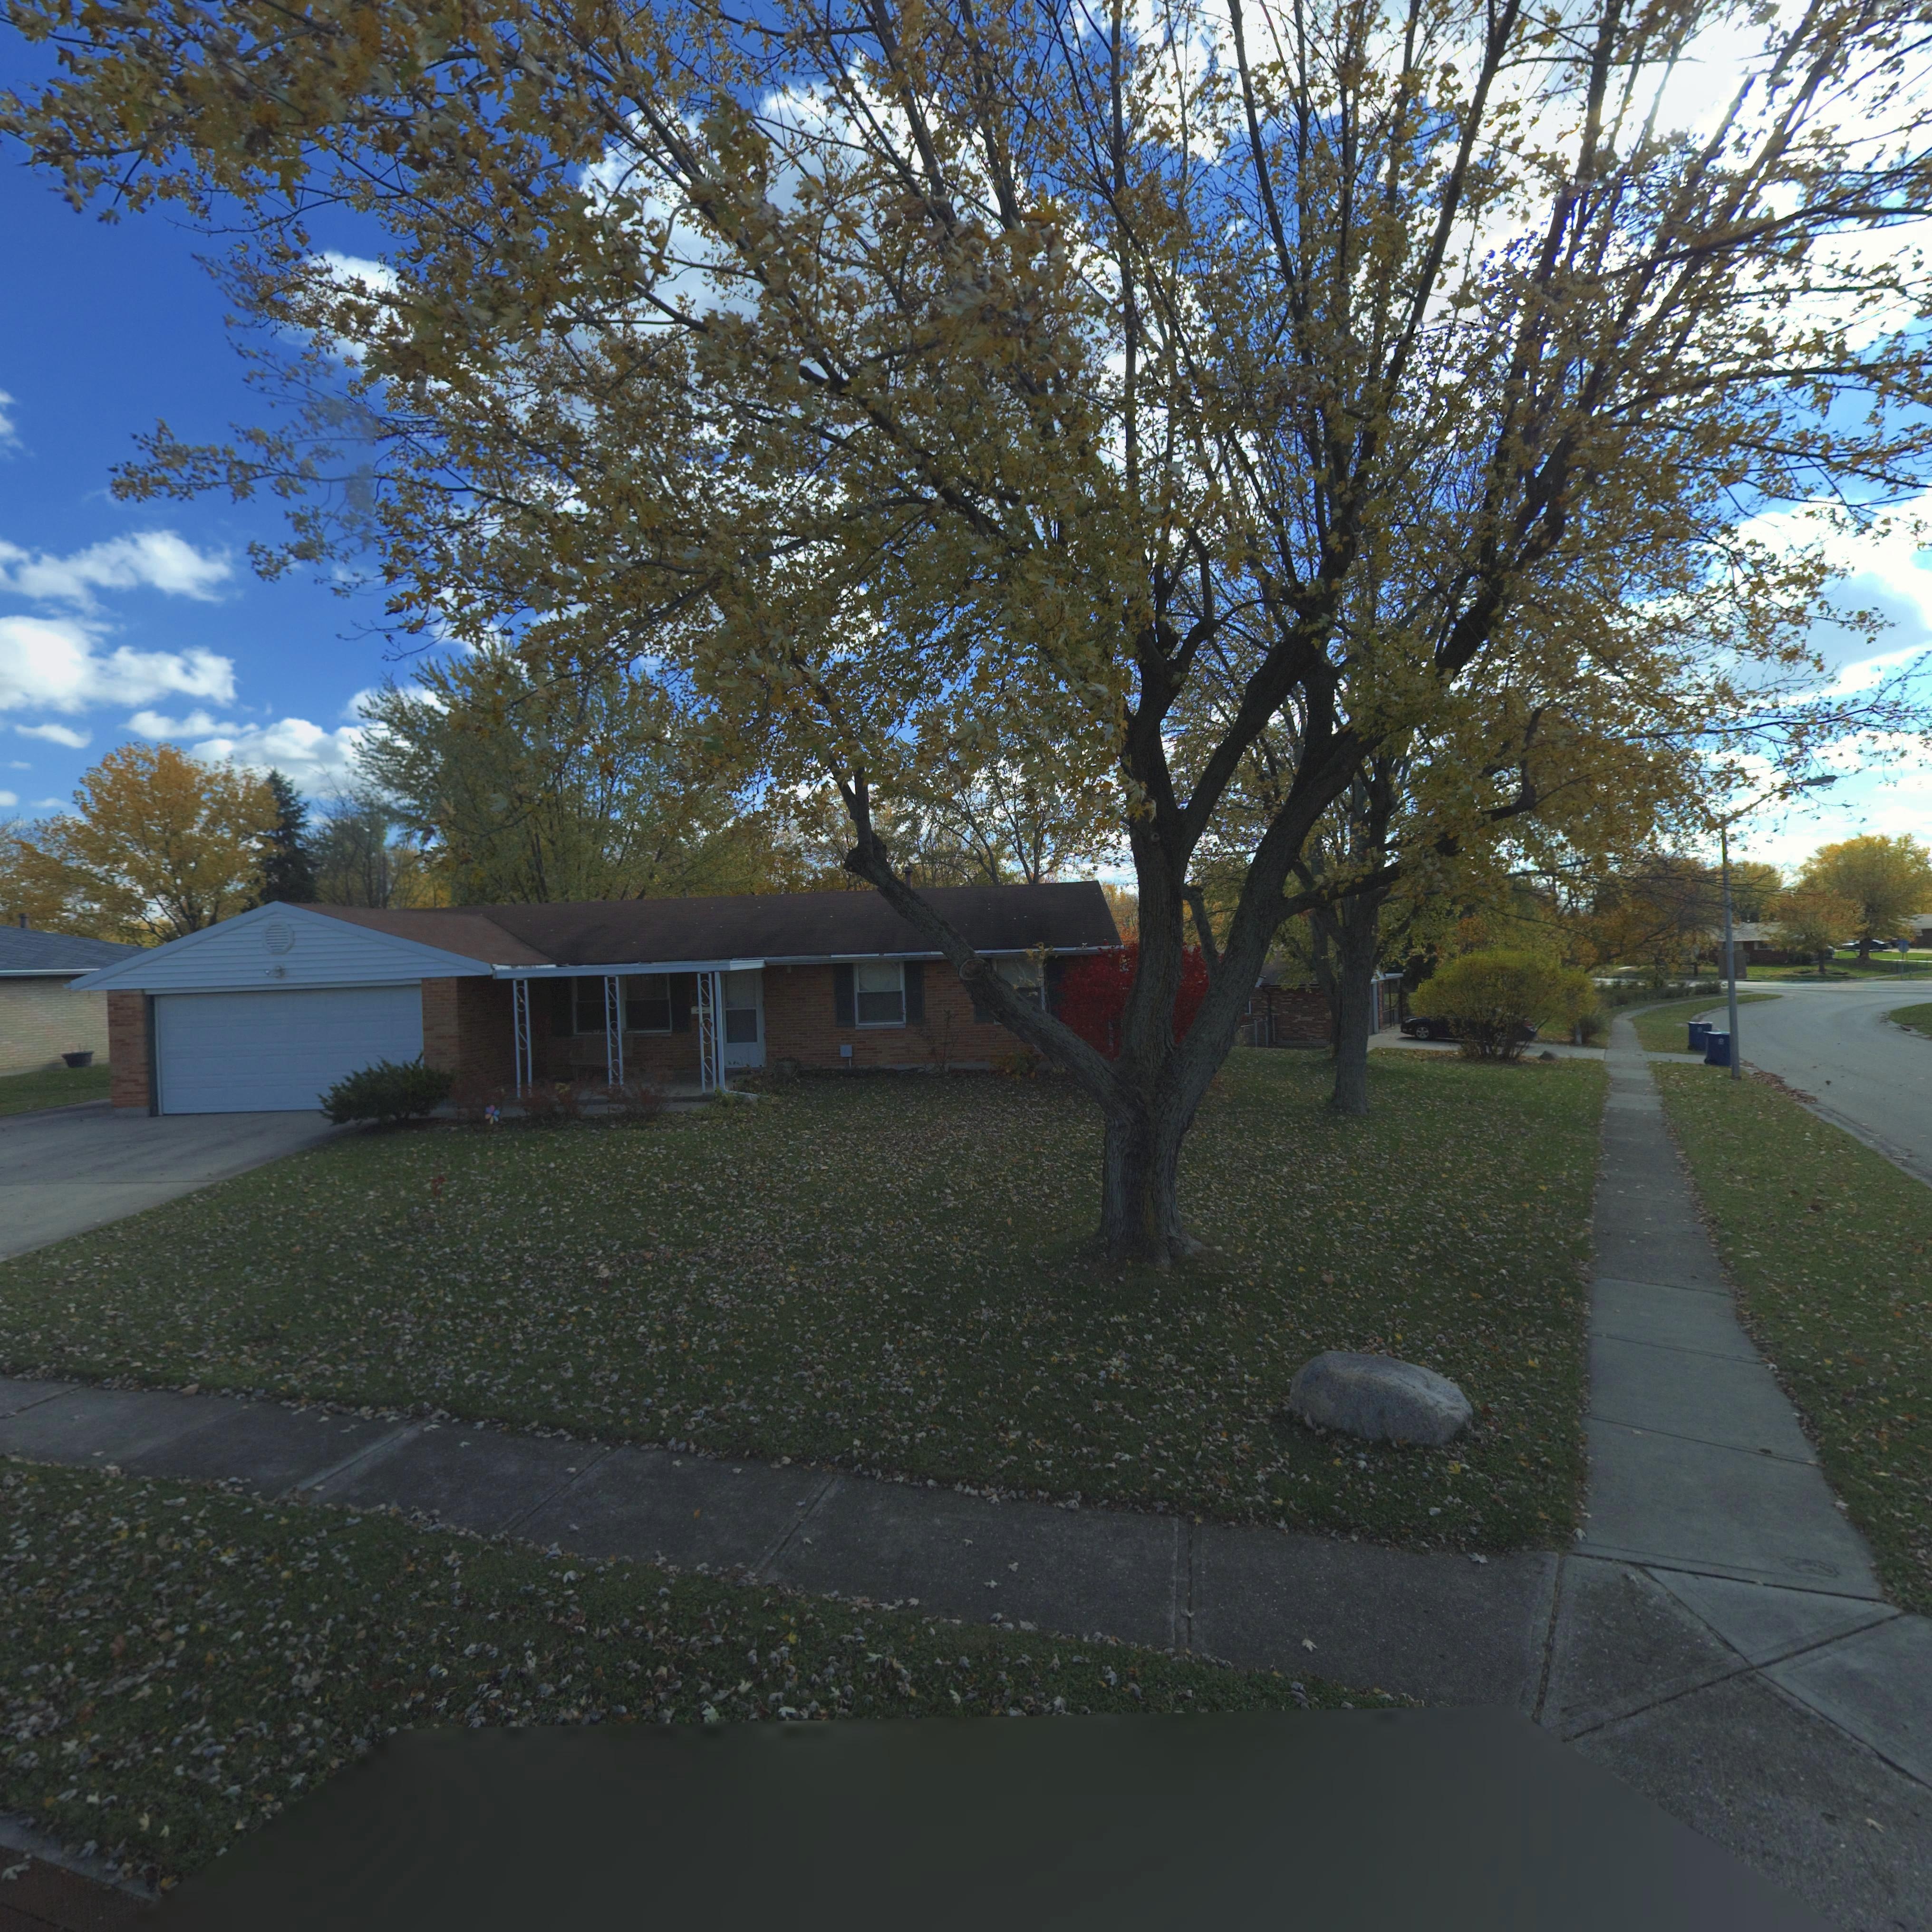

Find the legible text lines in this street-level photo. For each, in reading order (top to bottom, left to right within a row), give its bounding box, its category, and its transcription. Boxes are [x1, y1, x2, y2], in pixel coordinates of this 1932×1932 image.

[693, 994, 698, 1001] StreetNumber: 6